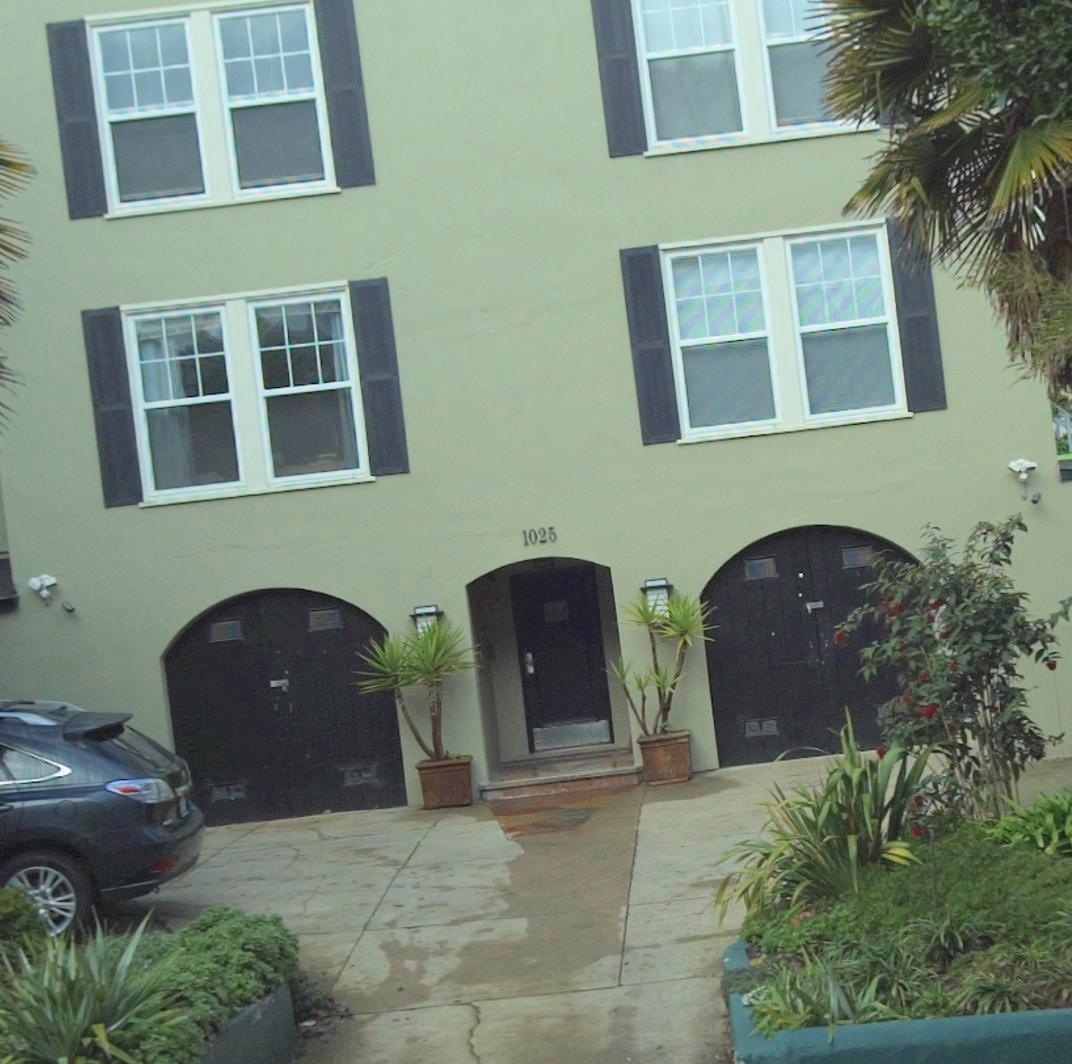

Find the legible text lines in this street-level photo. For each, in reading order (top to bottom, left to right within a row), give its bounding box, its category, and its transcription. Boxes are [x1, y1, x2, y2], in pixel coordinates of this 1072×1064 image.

[519, 524, 560, 550] StreetNumber: 1025